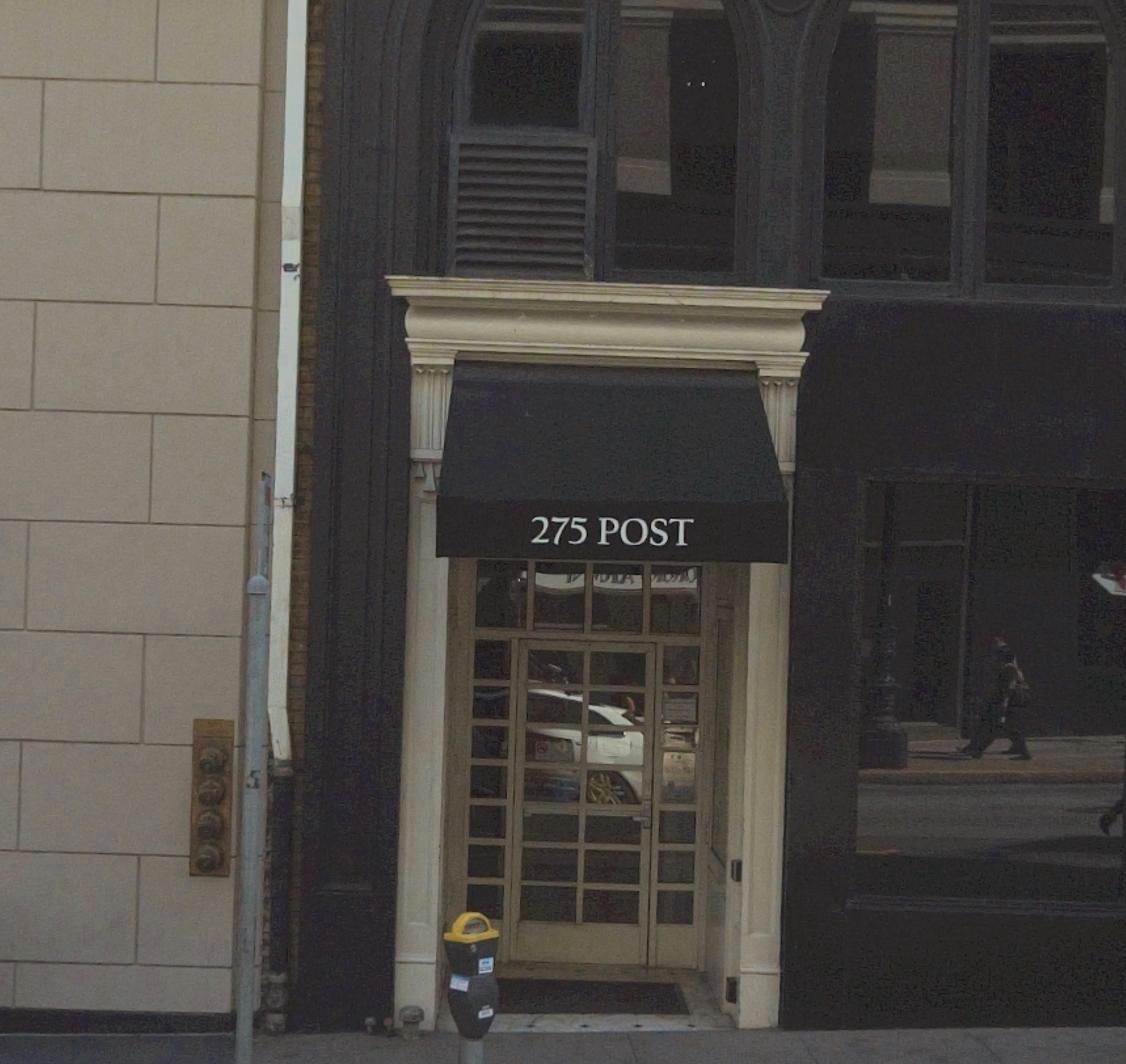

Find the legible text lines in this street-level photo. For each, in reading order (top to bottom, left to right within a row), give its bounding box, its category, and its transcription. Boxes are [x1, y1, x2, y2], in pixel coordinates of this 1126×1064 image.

[528, 514, 589, 546] StreetNumber: 275
[596, 517, 695, 548] StreetName: POST